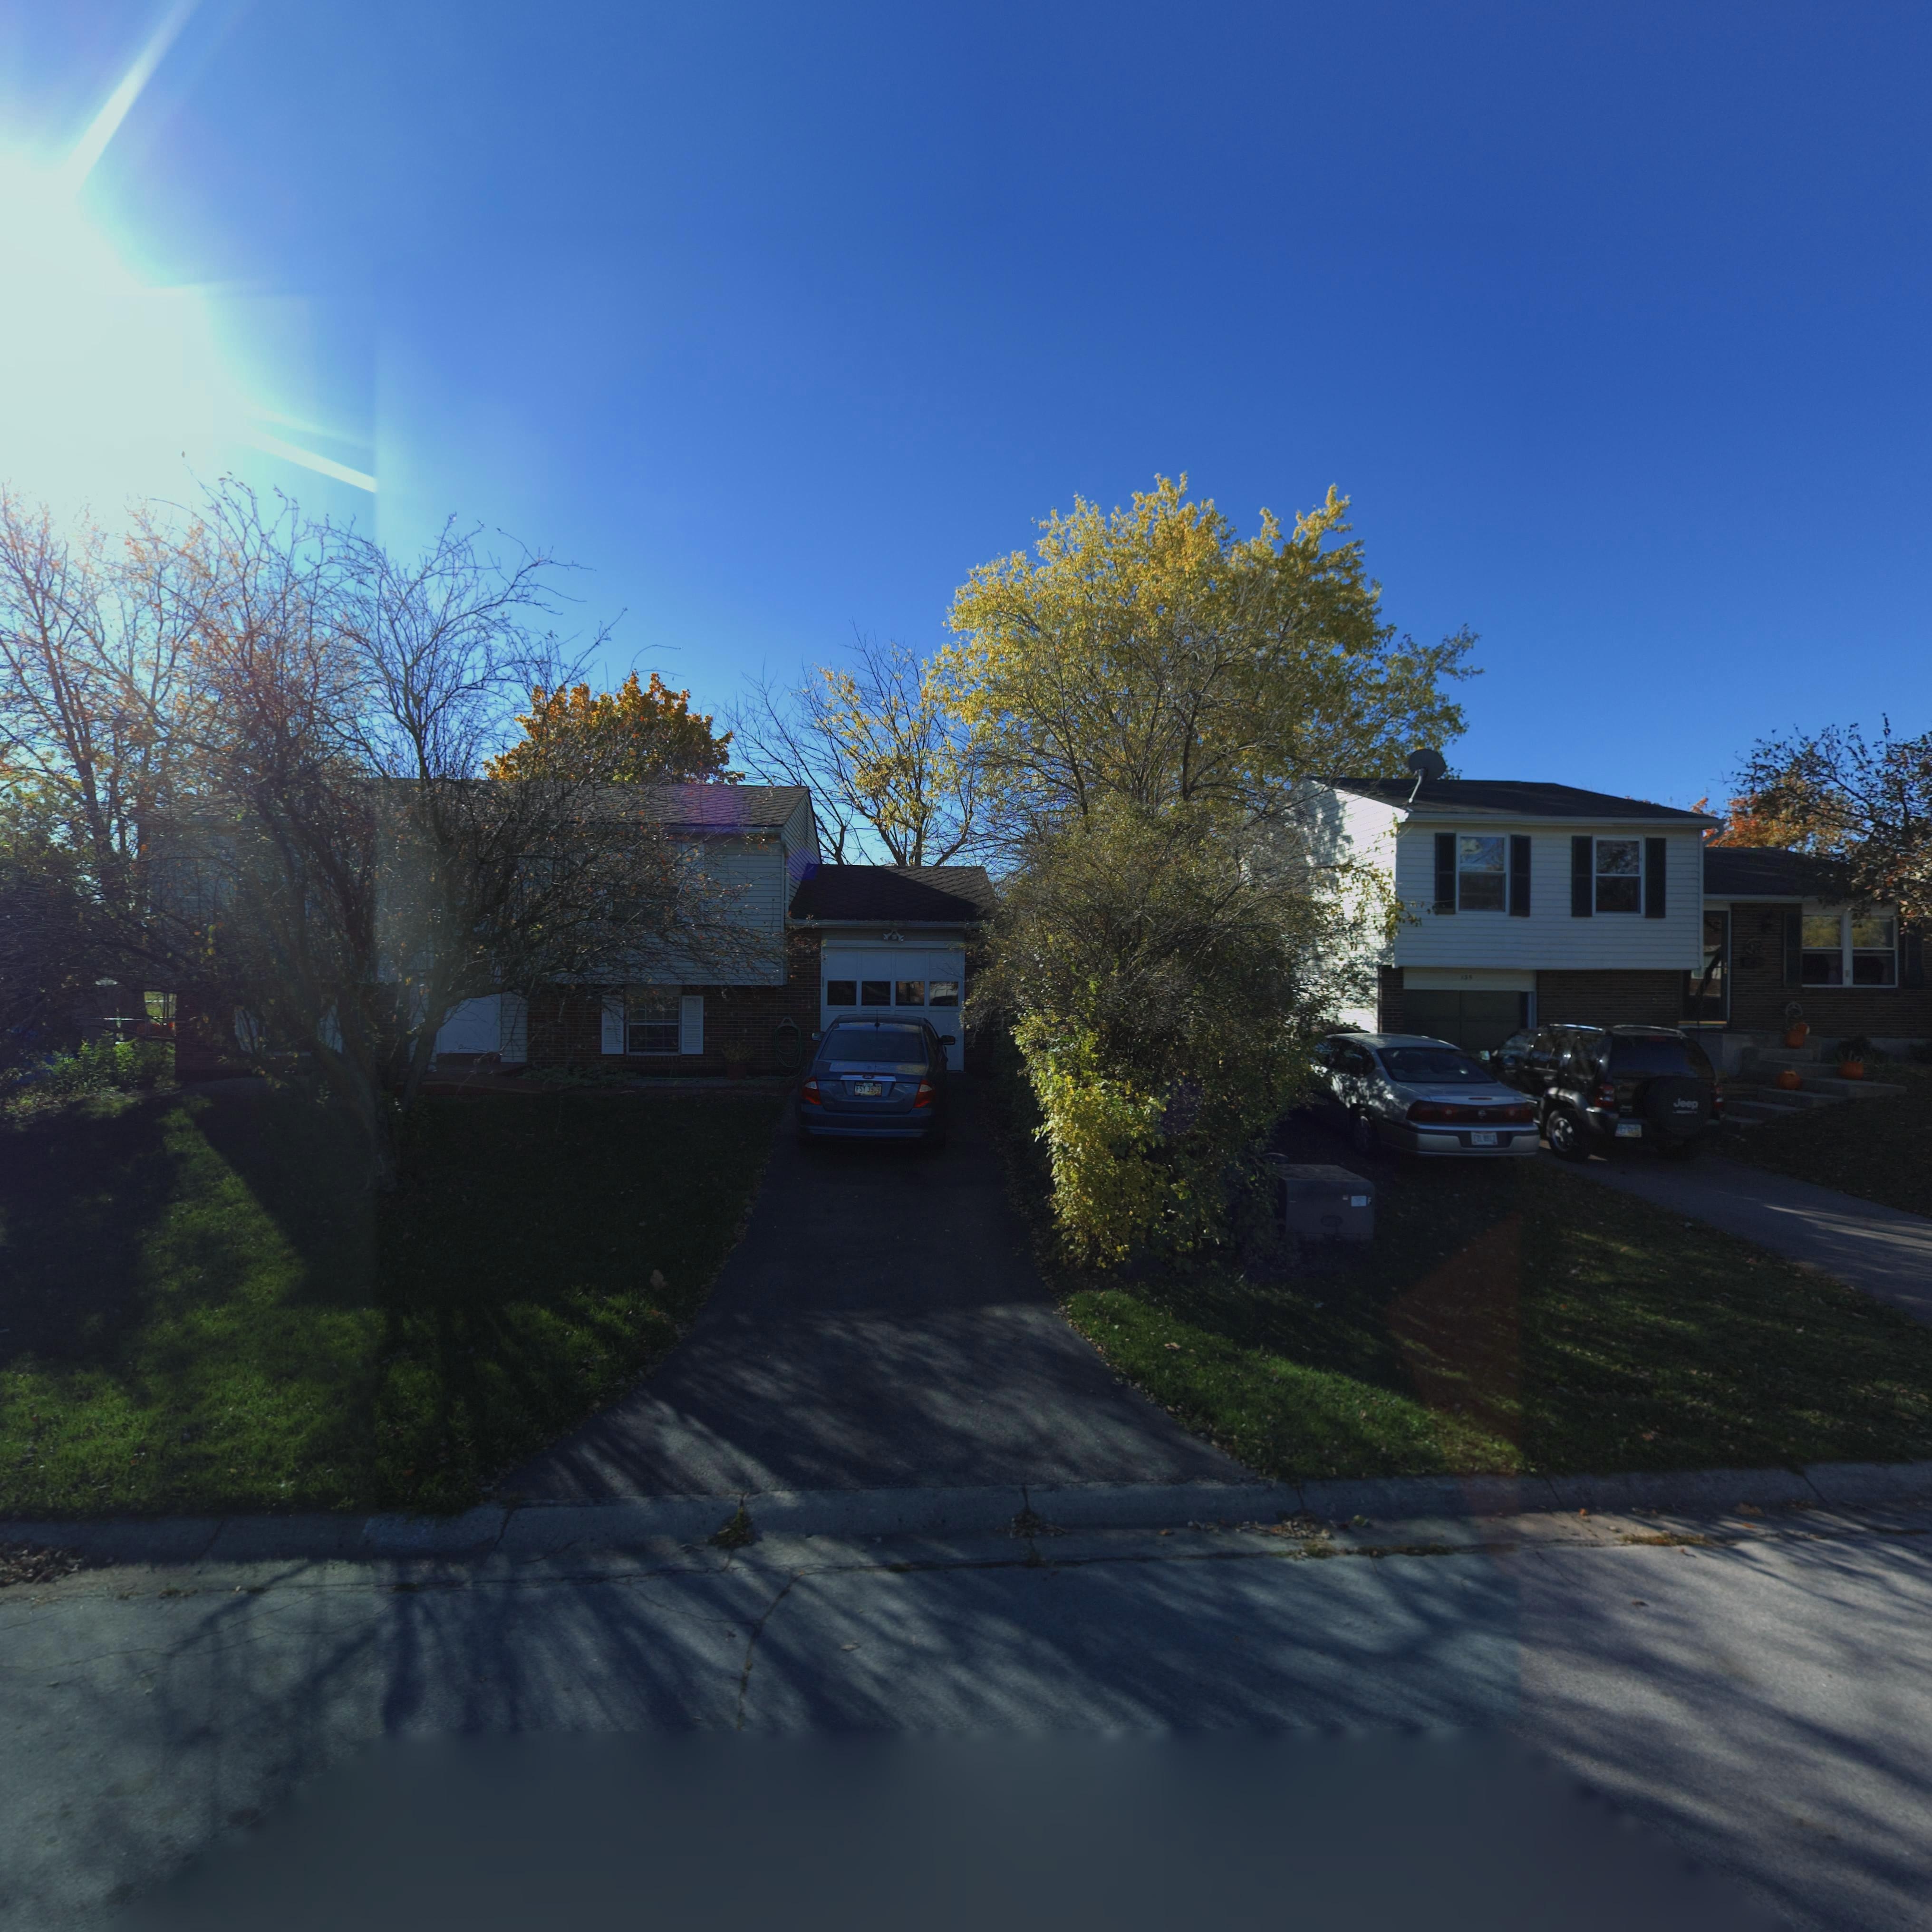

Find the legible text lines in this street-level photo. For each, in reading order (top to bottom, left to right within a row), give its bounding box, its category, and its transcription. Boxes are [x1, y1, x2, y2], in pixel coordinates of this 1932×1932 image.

[1460, 974, 1473, 981] StreetNumber: 135